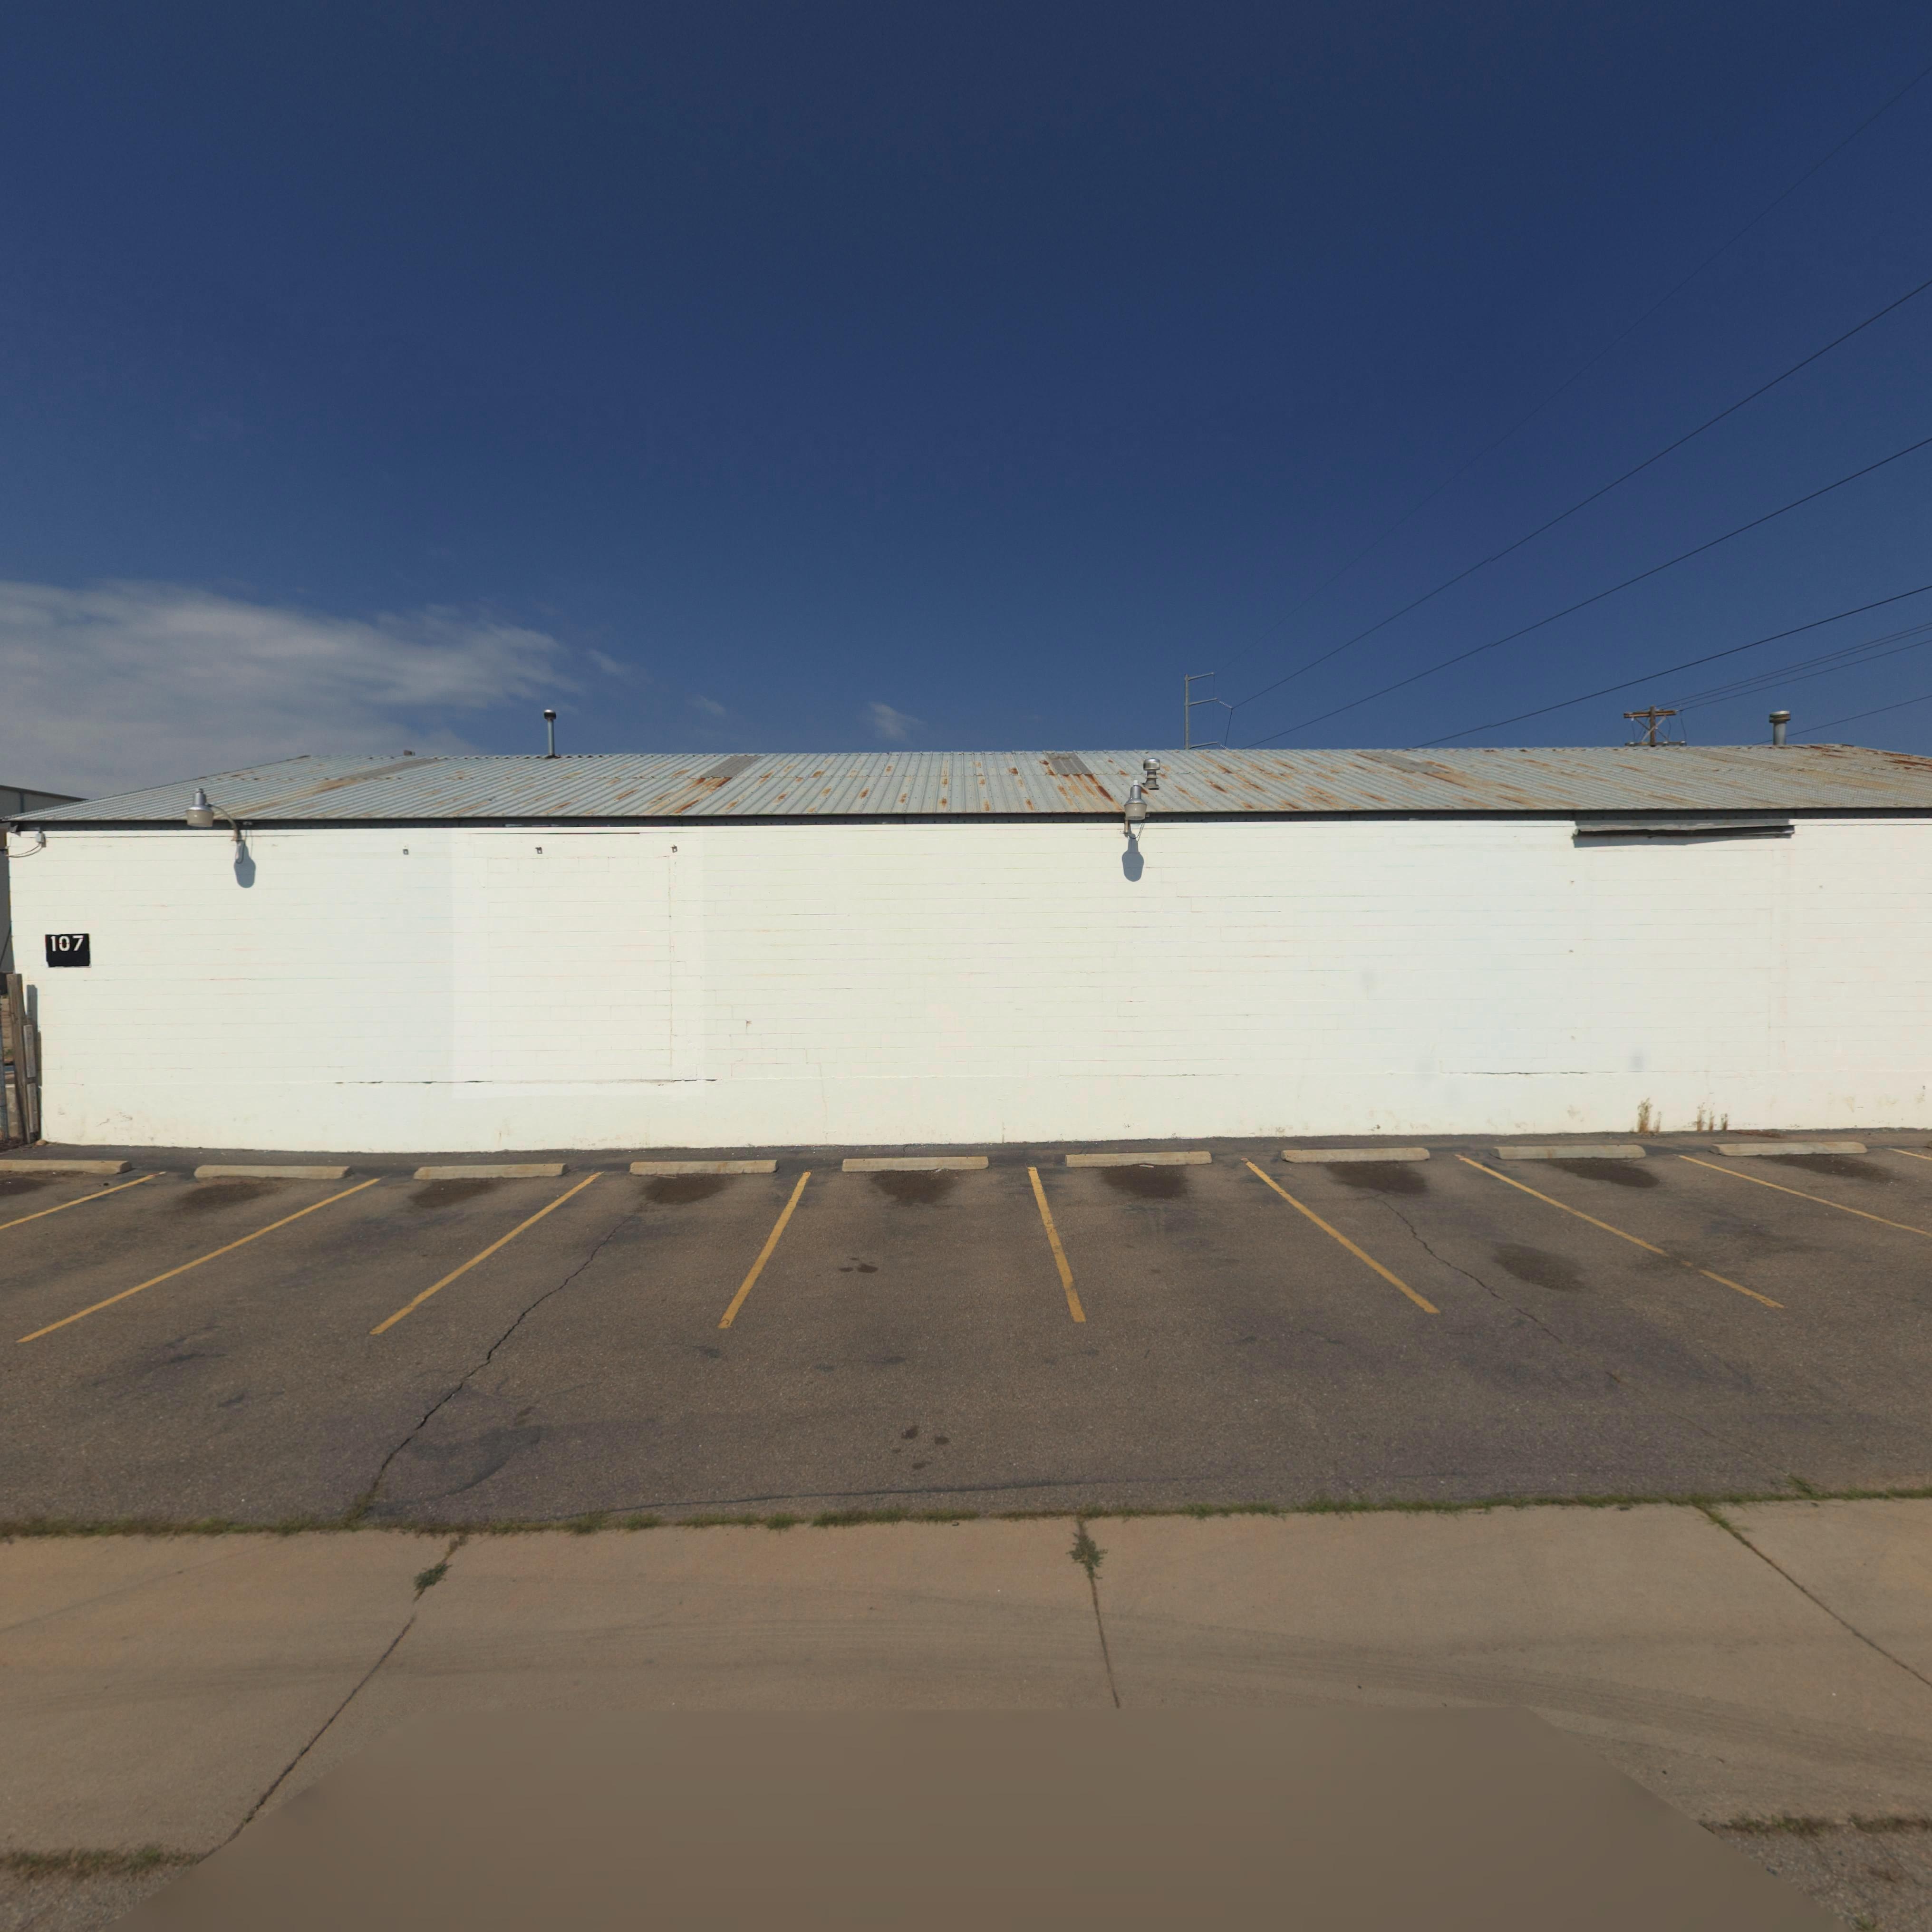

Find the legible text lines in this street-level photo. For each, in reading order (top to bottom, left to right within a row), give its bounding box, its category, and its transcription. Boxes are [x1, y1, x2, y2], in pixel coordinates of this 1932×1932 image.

[49, 934, 84, 952] StreetNumber: 107